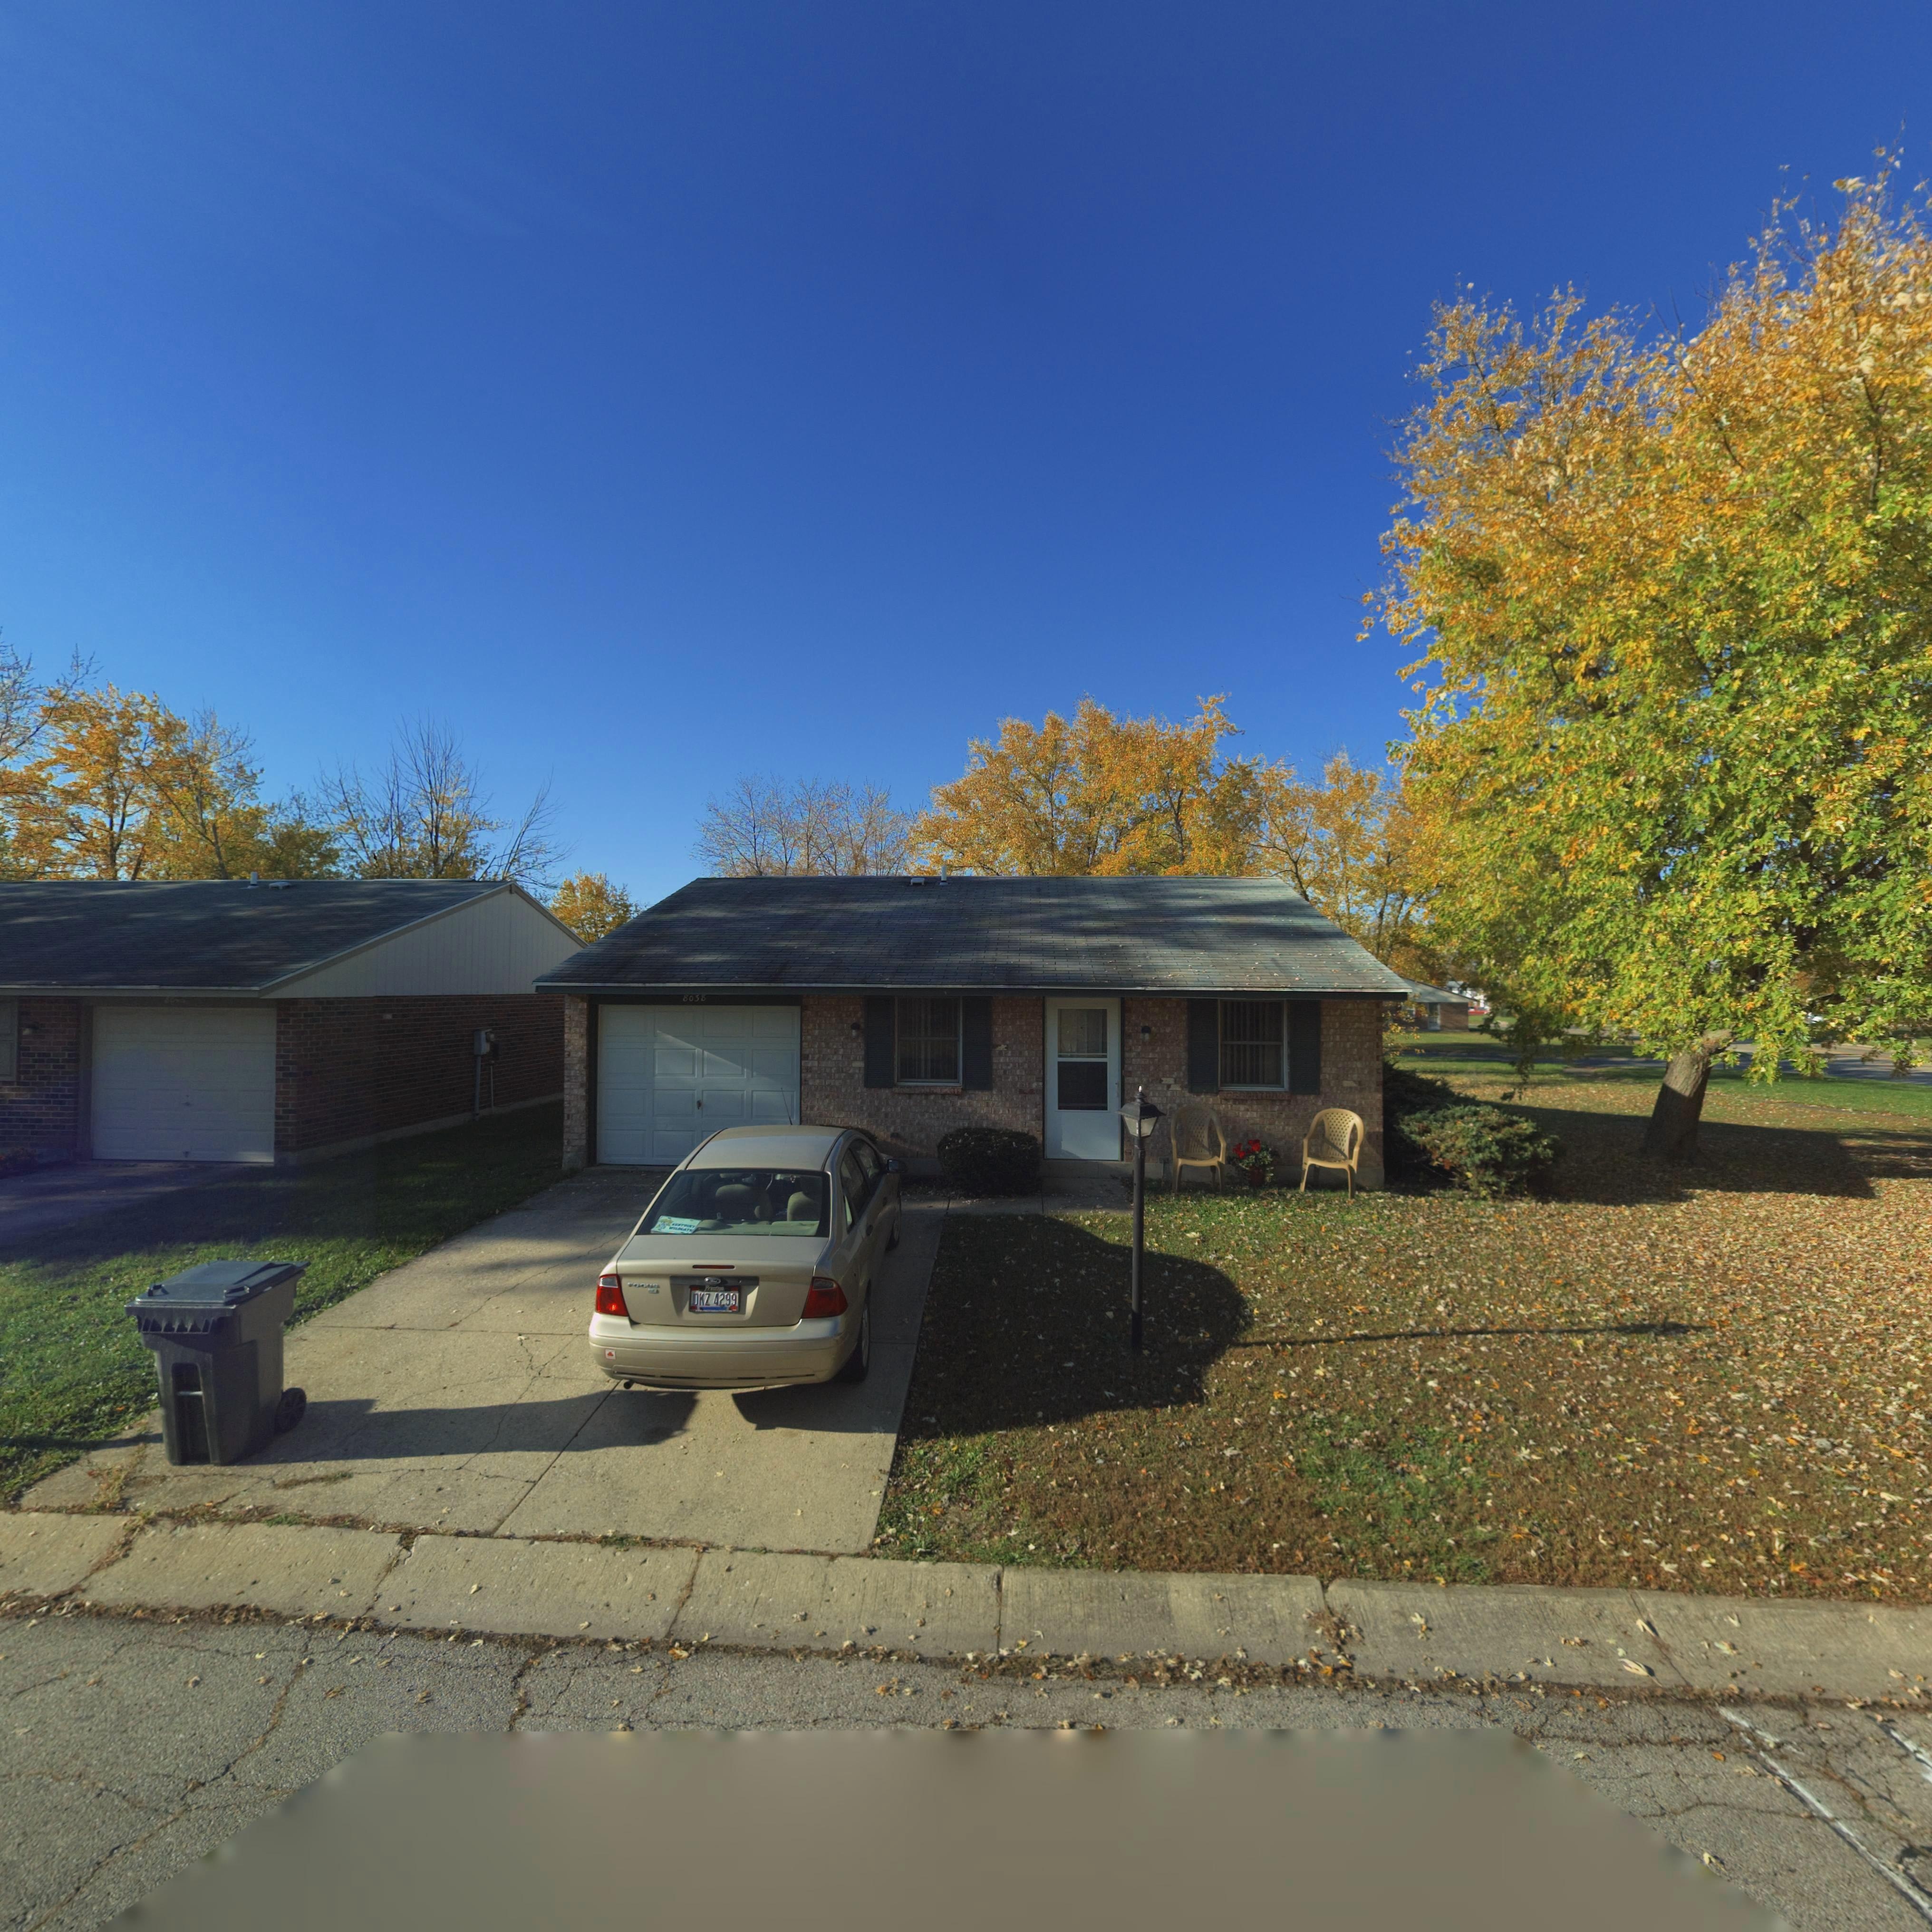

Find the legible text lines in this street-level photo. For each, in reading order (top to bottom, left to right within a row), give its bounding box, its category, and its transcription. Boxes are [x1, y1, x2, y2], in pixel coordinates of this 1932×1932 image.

[681, 993, 707, 1003] StreetNumber: 80*8